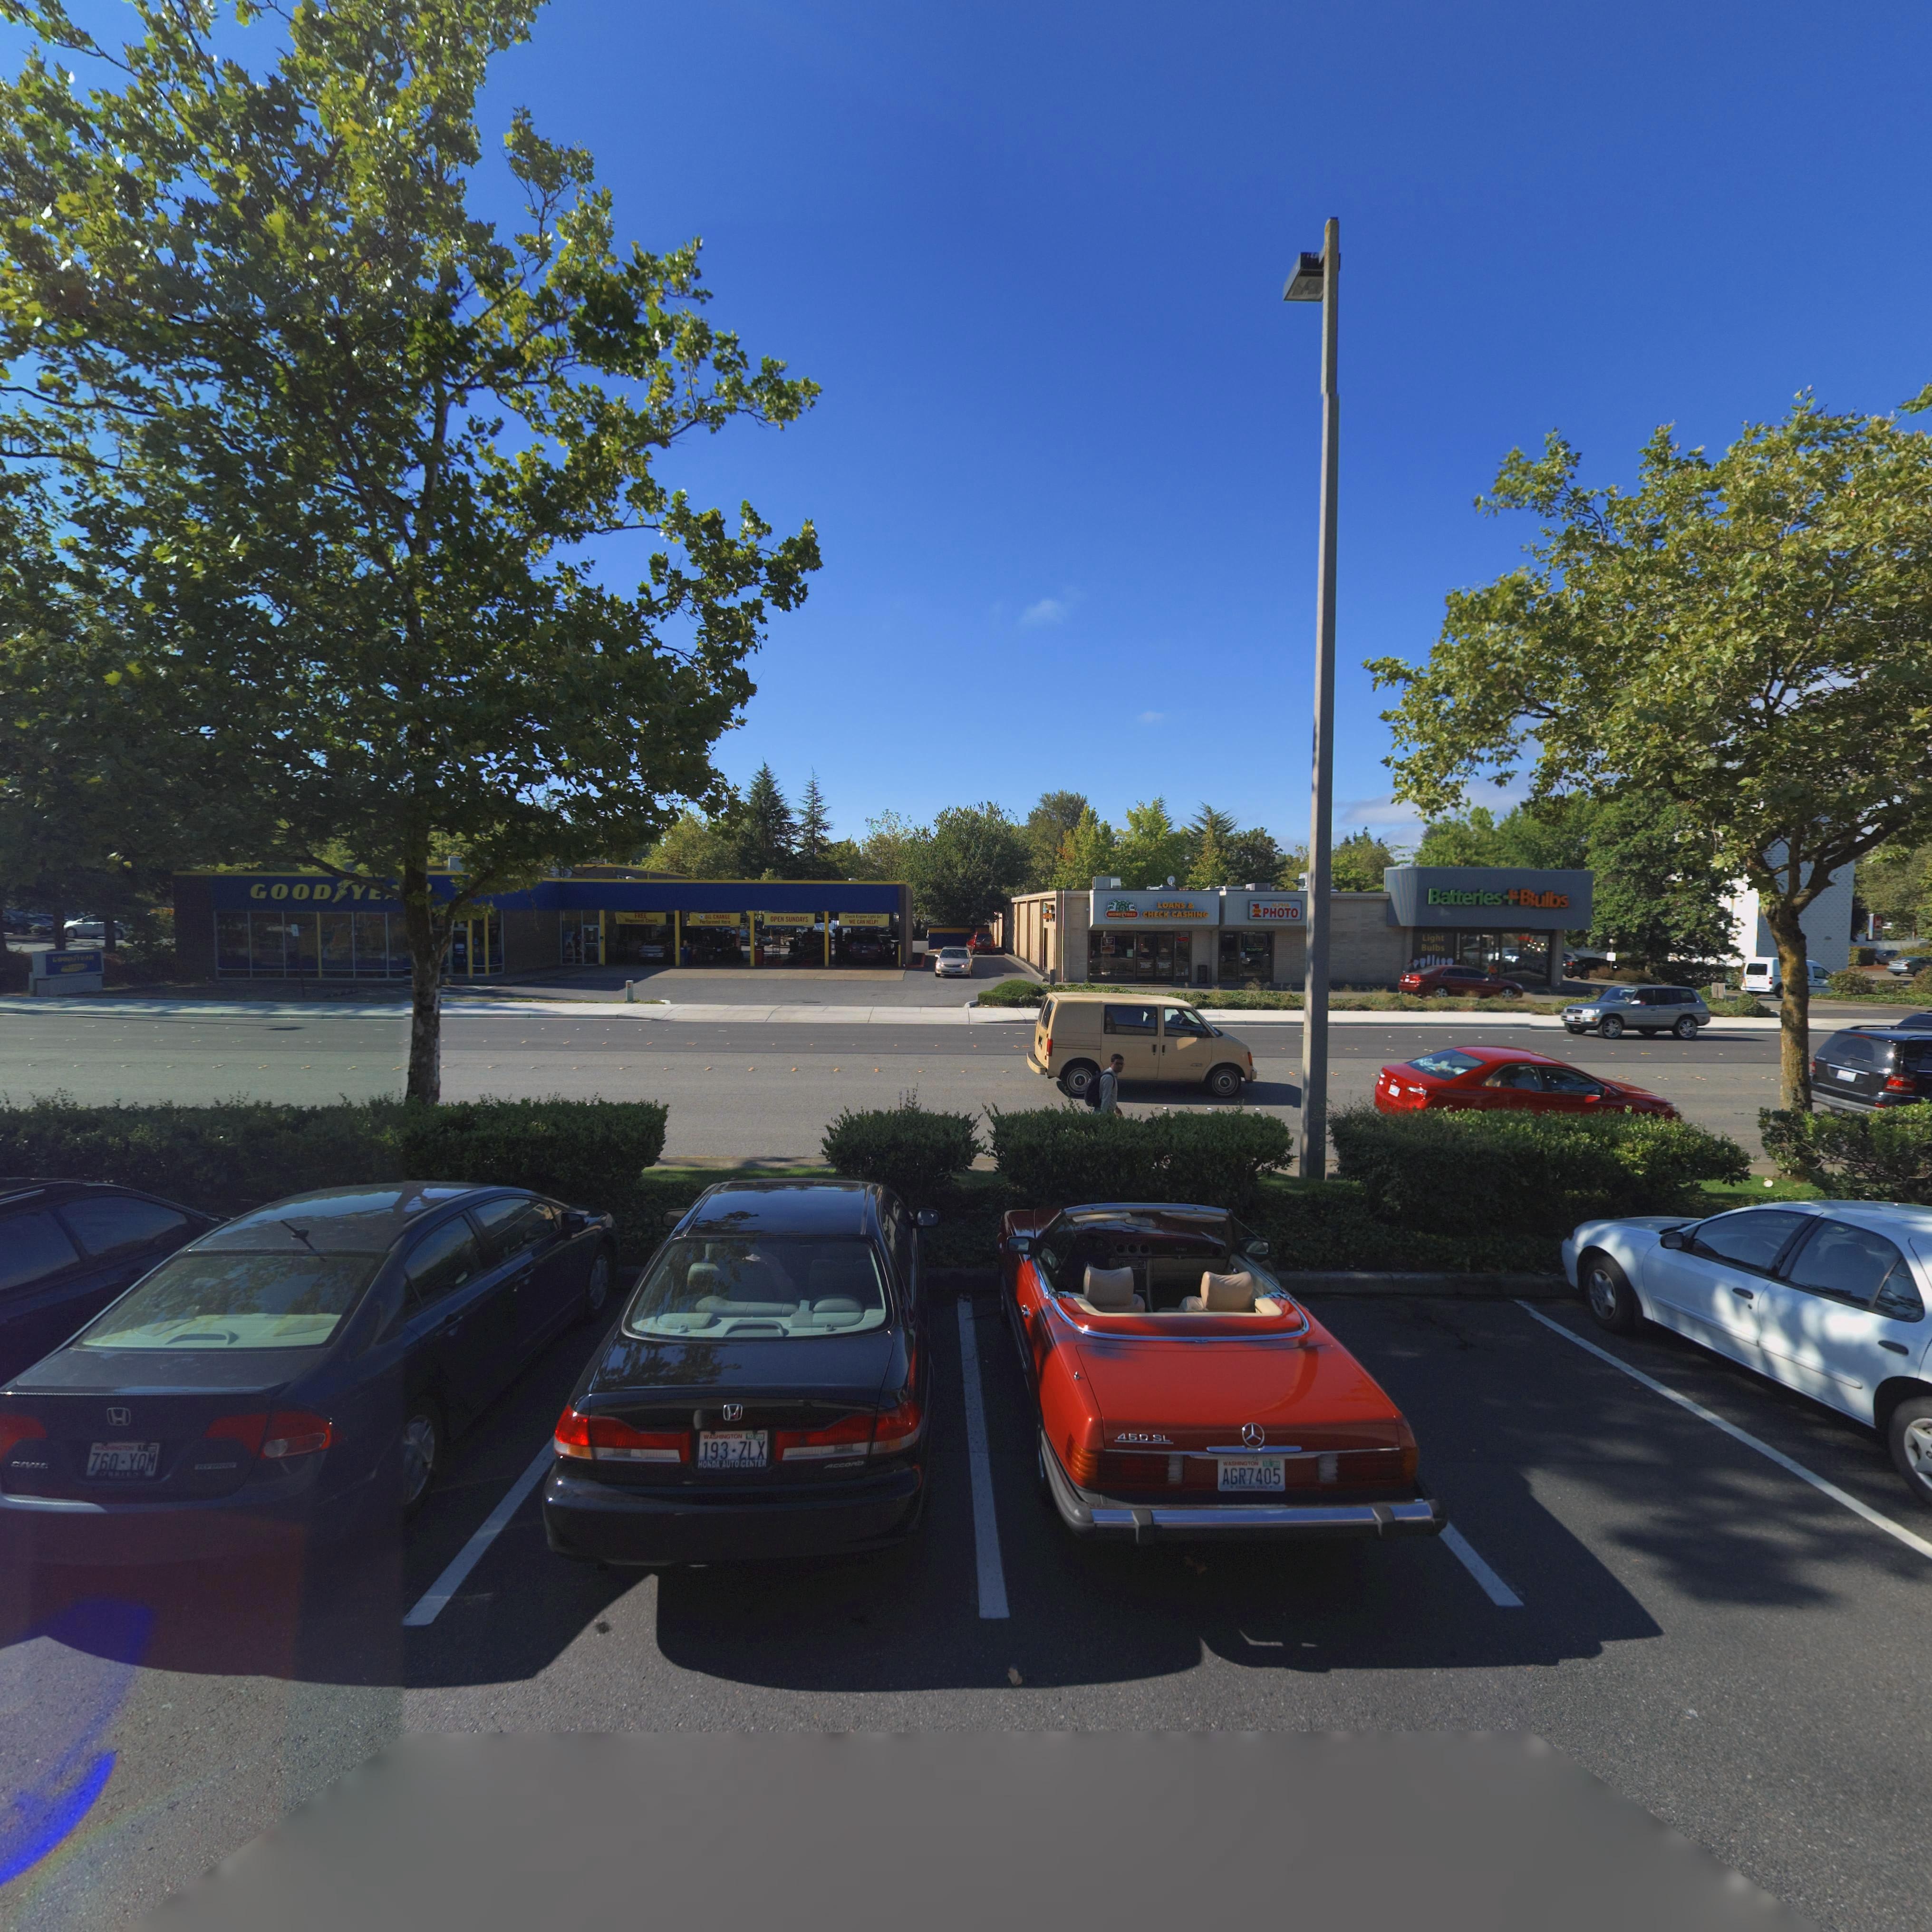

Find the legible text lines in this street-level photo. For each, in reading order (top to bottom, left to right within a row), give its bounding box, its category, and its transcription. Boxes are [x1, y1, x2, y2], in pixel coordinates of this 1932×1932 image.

[251, 883, 401, 900] BusinessName: GOOD*Y**
[1428, 889, 1569, 907] BusinessName: Batterie*
[1157, 902, 1194, 908] None: Loan**
[1143, 911, 1208, 918] BusinessName: CHECK CASHING
[1263, 908, 1298, 918] BusinessName: PHOTO